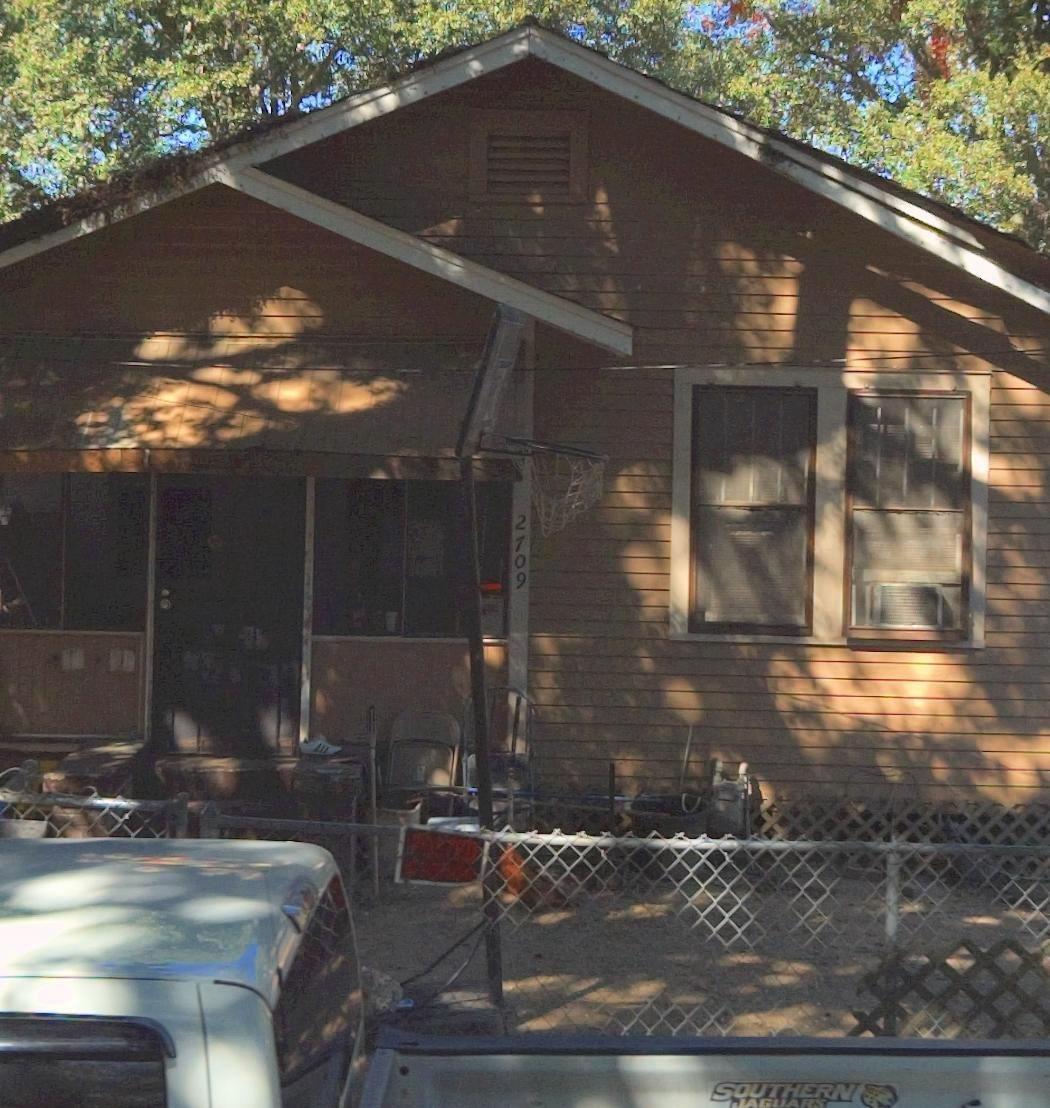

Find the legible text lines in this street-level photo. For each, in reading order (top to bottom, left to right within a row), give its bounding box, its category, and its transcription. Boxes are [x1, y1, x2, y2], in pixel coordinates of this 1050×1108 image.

[512, 512, 529, 591] StreetNumber: 2709
[706, 1081, 862, 1102] None: SOUTHERN